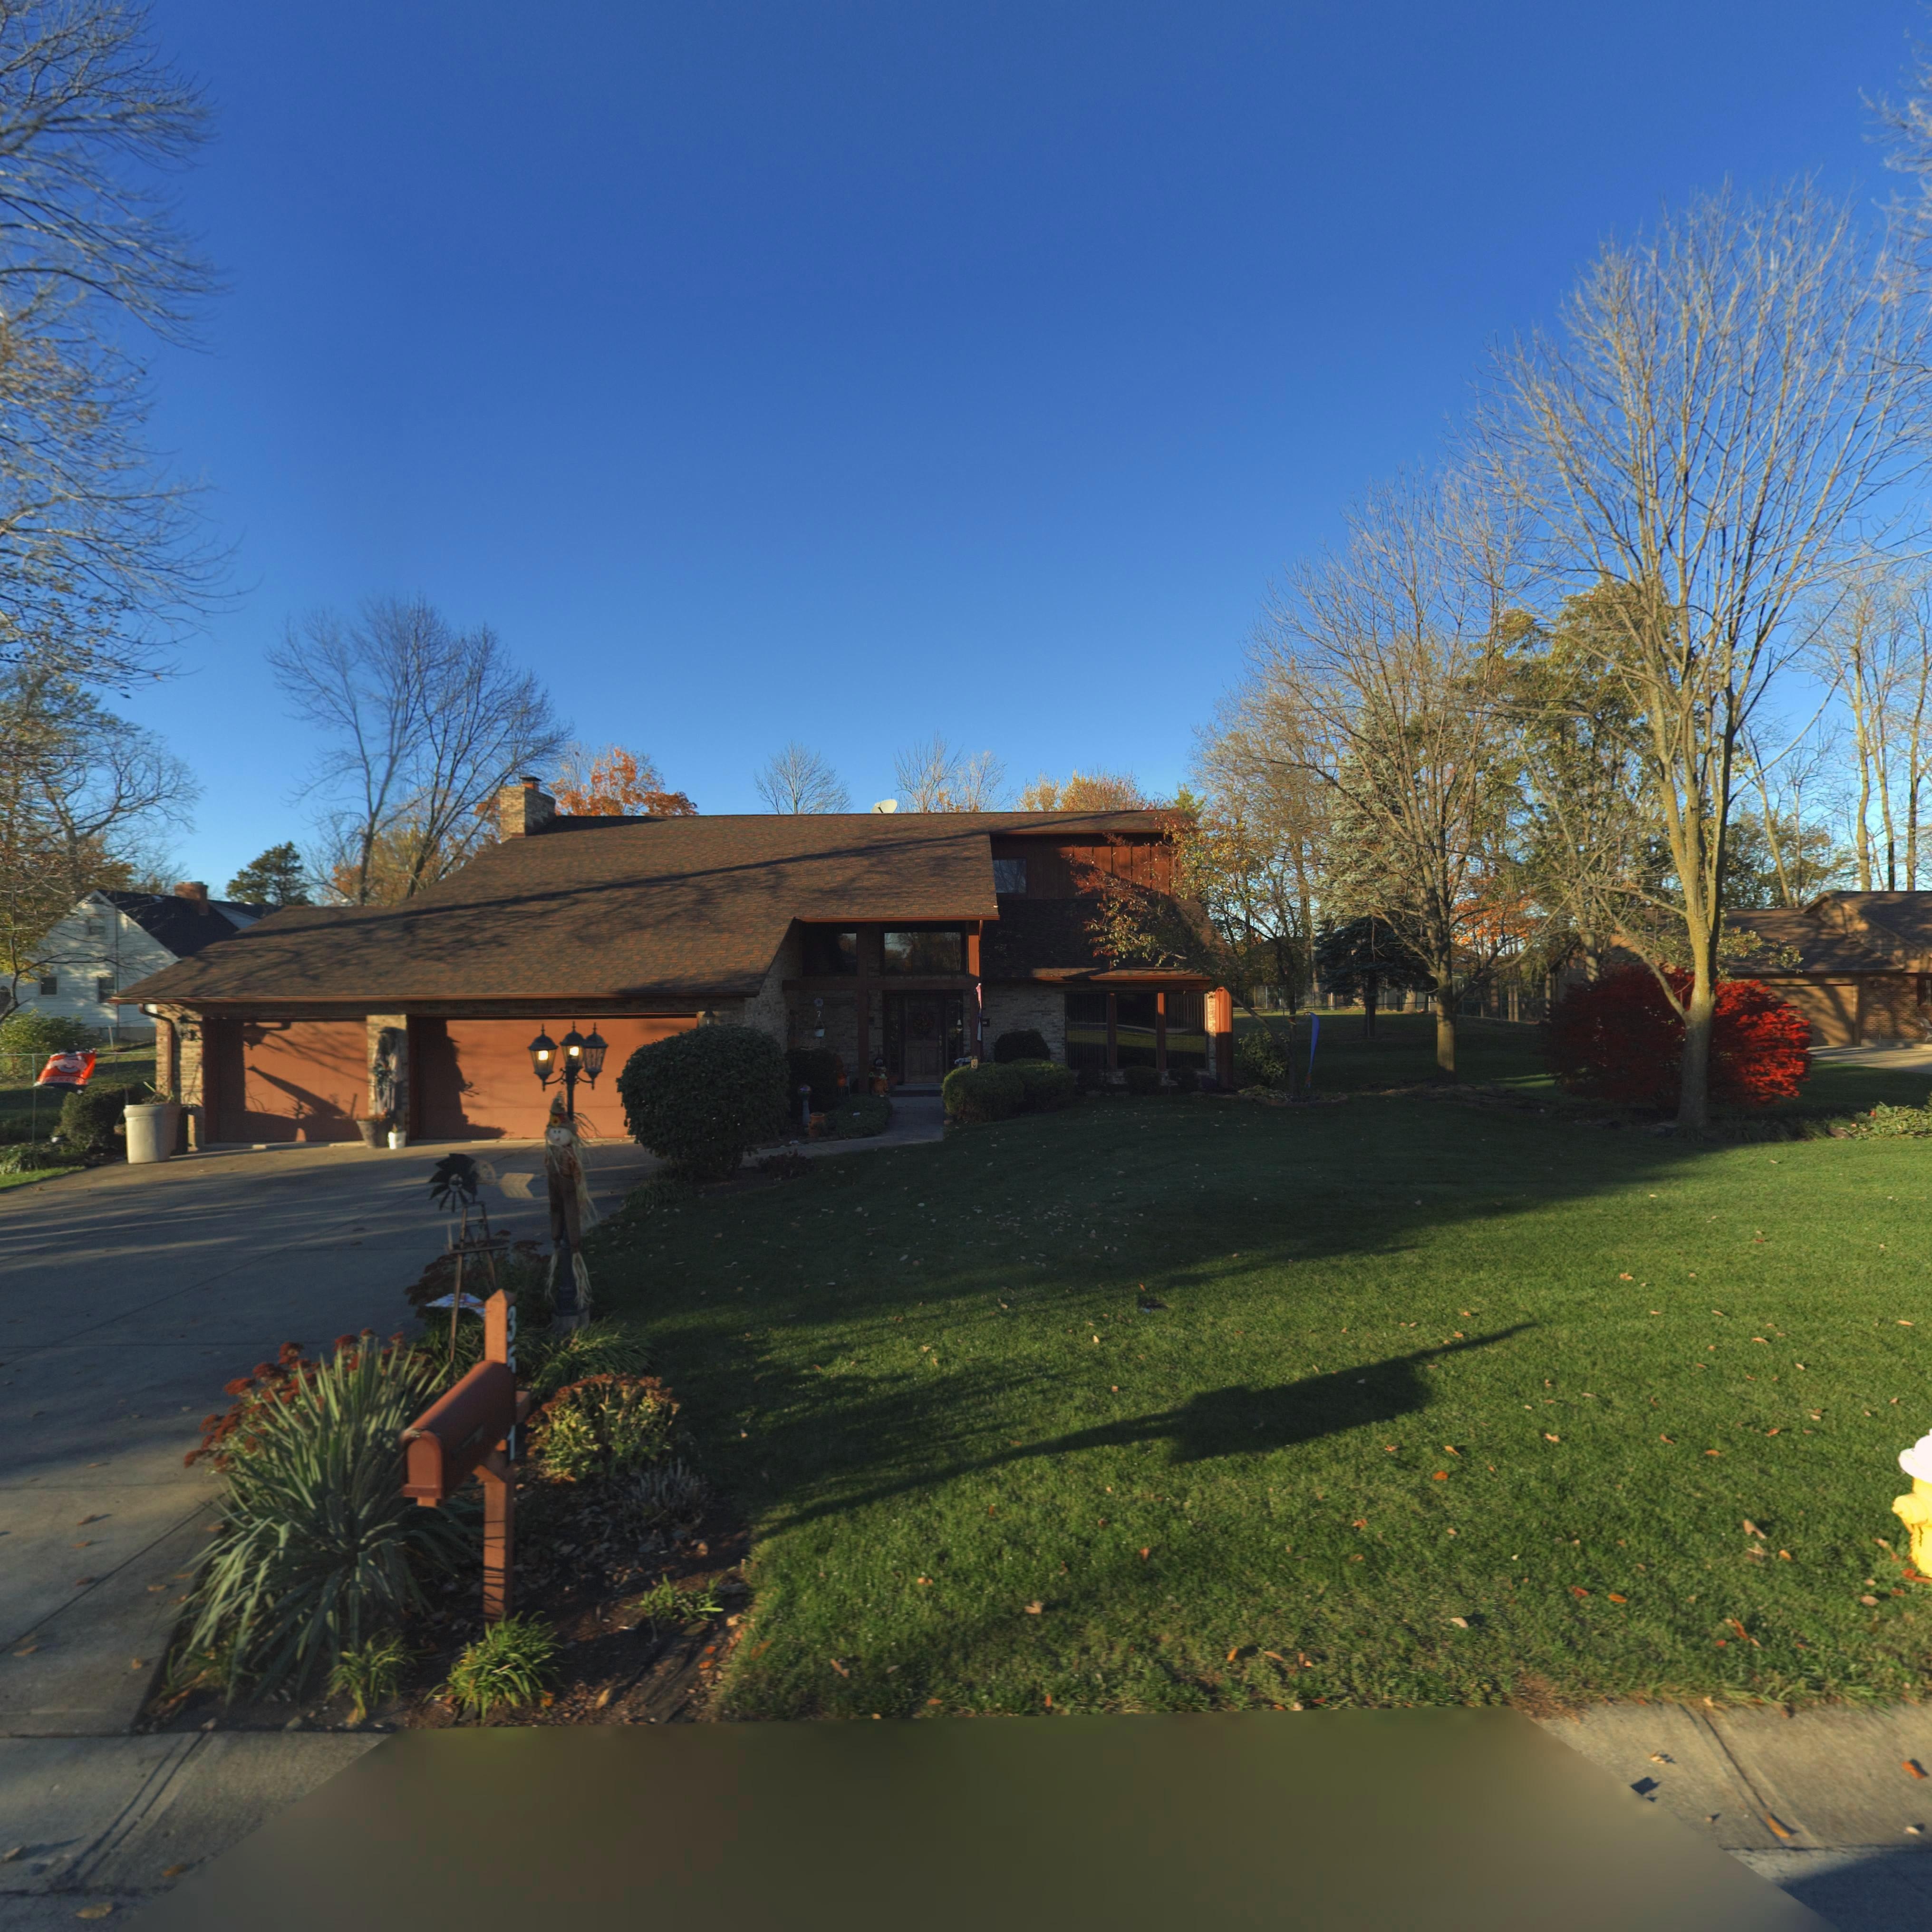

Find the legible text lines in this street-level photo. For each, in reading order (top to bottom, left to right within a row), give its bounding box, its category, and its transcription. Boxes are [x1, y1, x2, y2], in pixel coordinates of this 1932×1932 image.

[506, 1302, 517, 1467] StreetNumber: 35*1